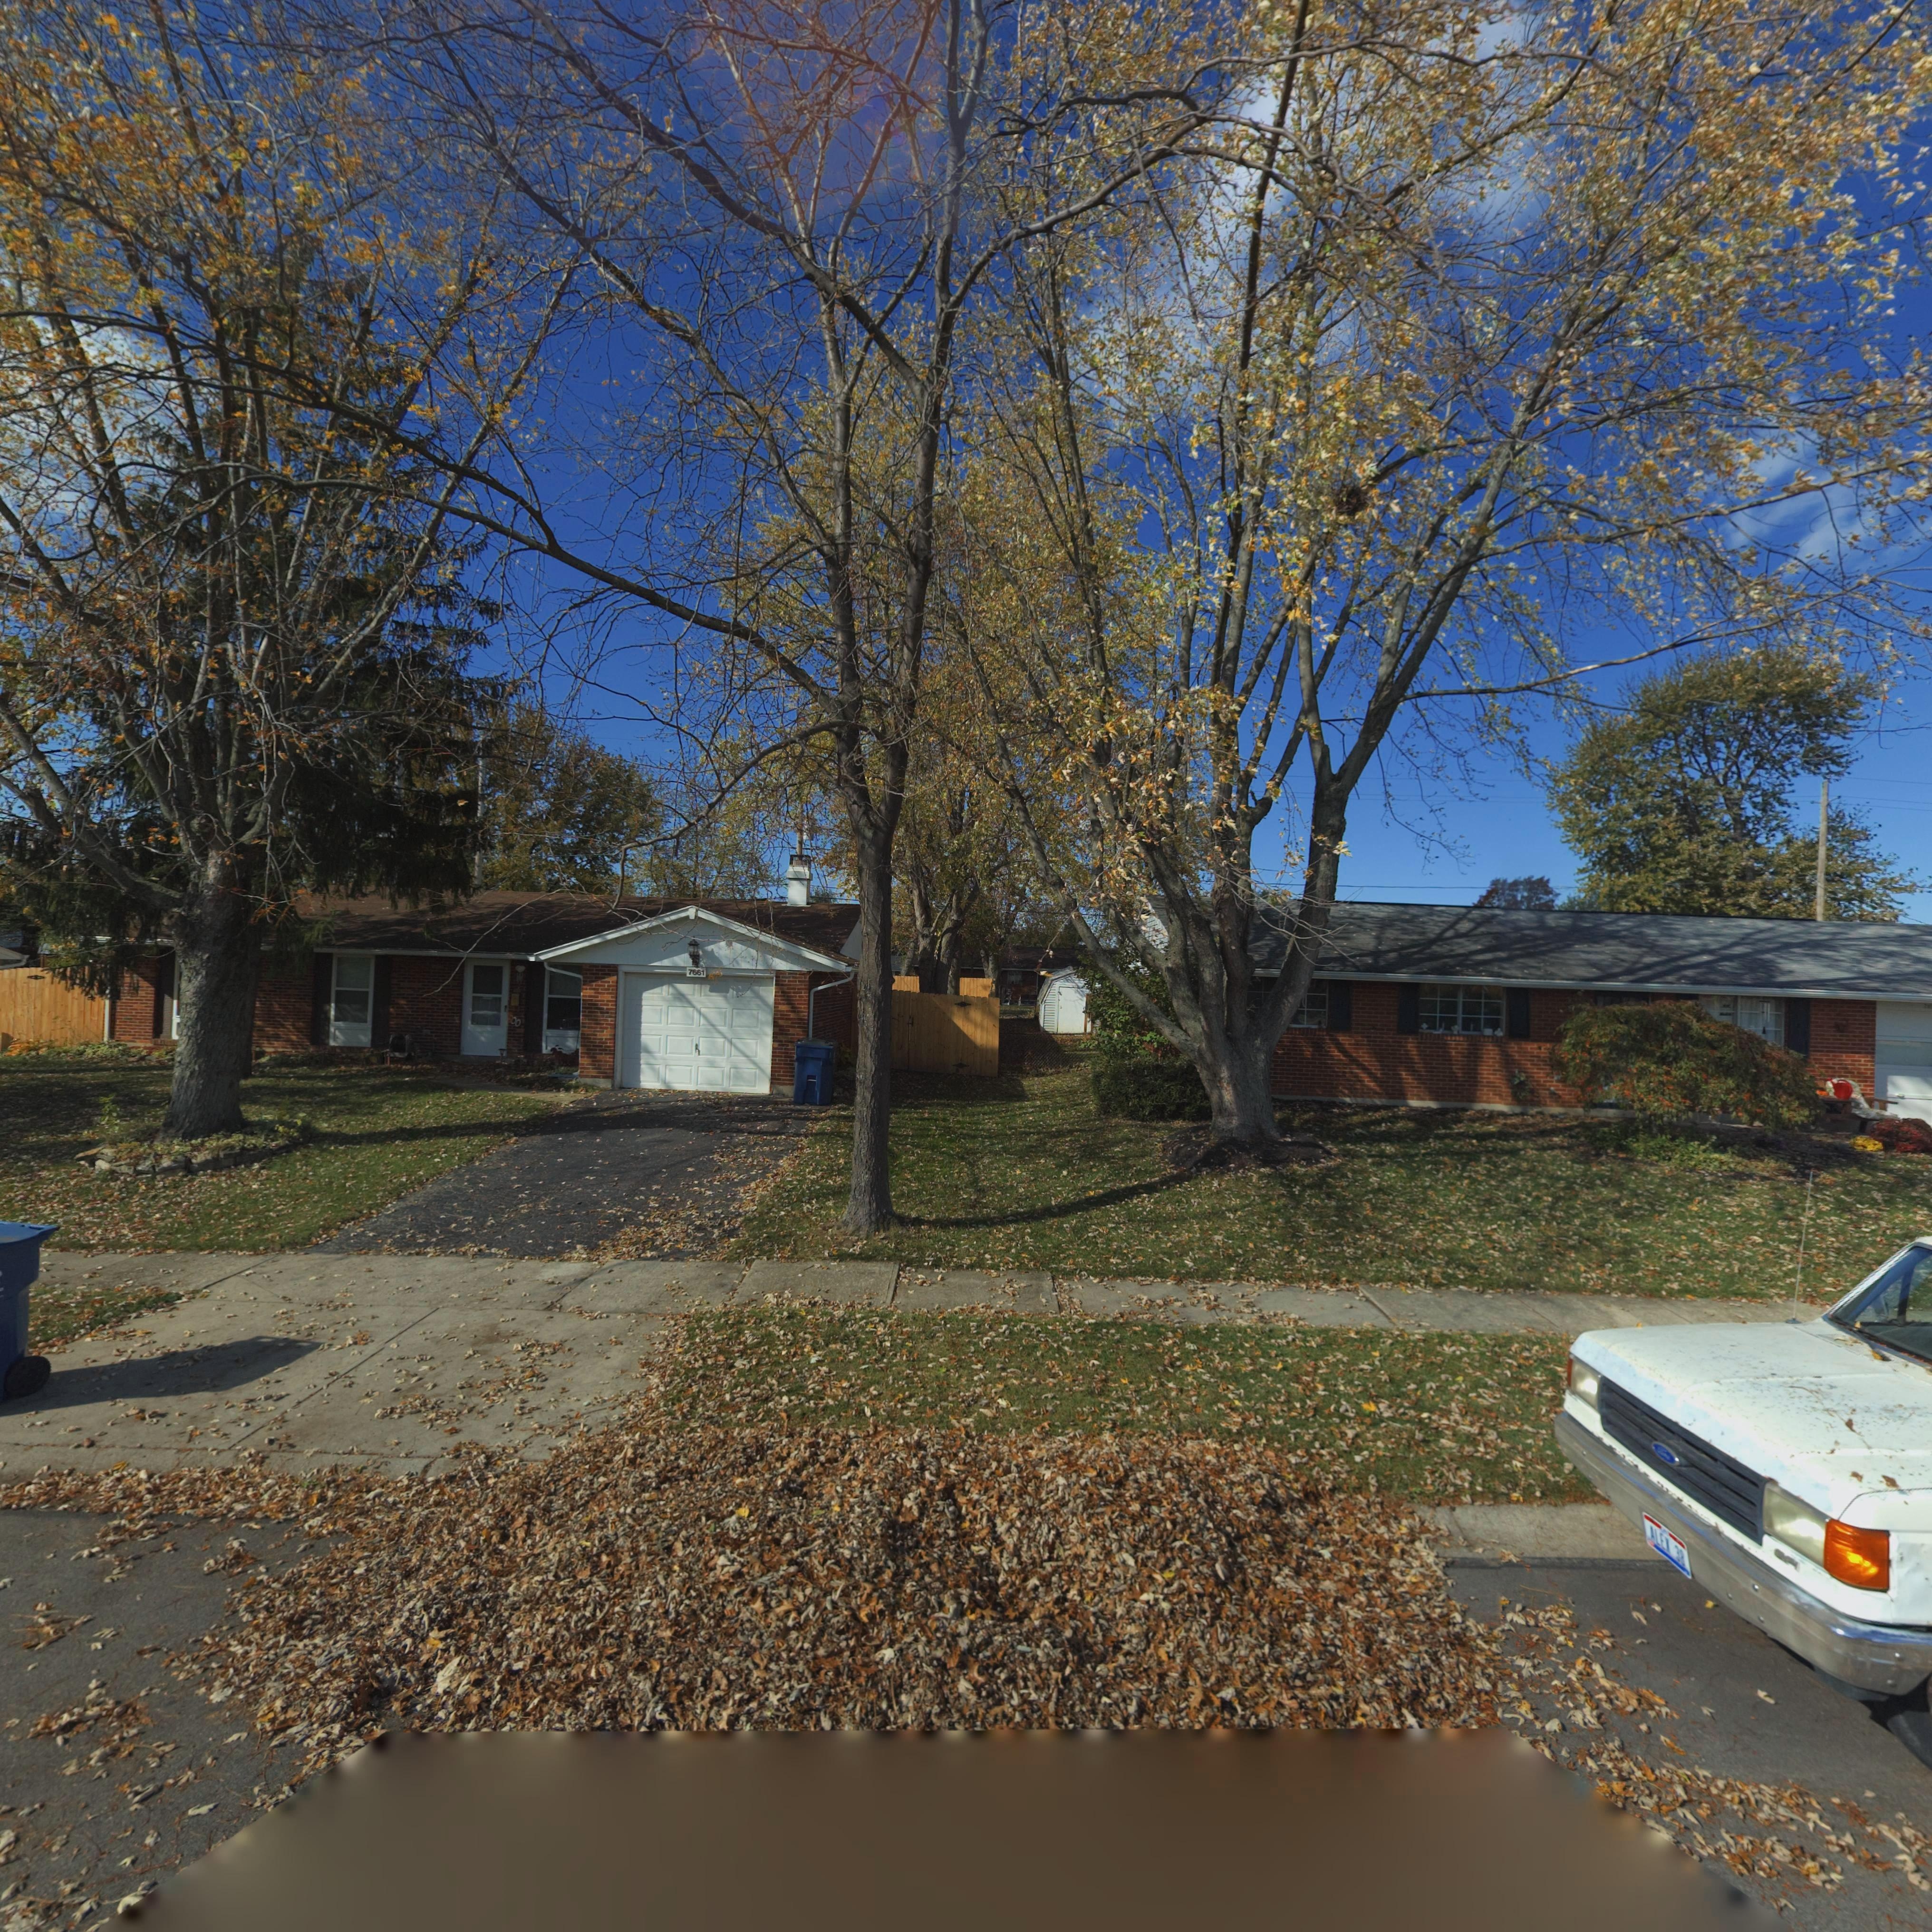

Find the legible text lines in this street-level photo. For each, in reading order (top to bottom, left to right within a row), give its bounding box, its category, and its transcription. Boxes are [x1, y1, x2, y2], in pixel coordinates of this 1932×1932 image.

[687, 968, 705, 977] StreetNumber: 7661